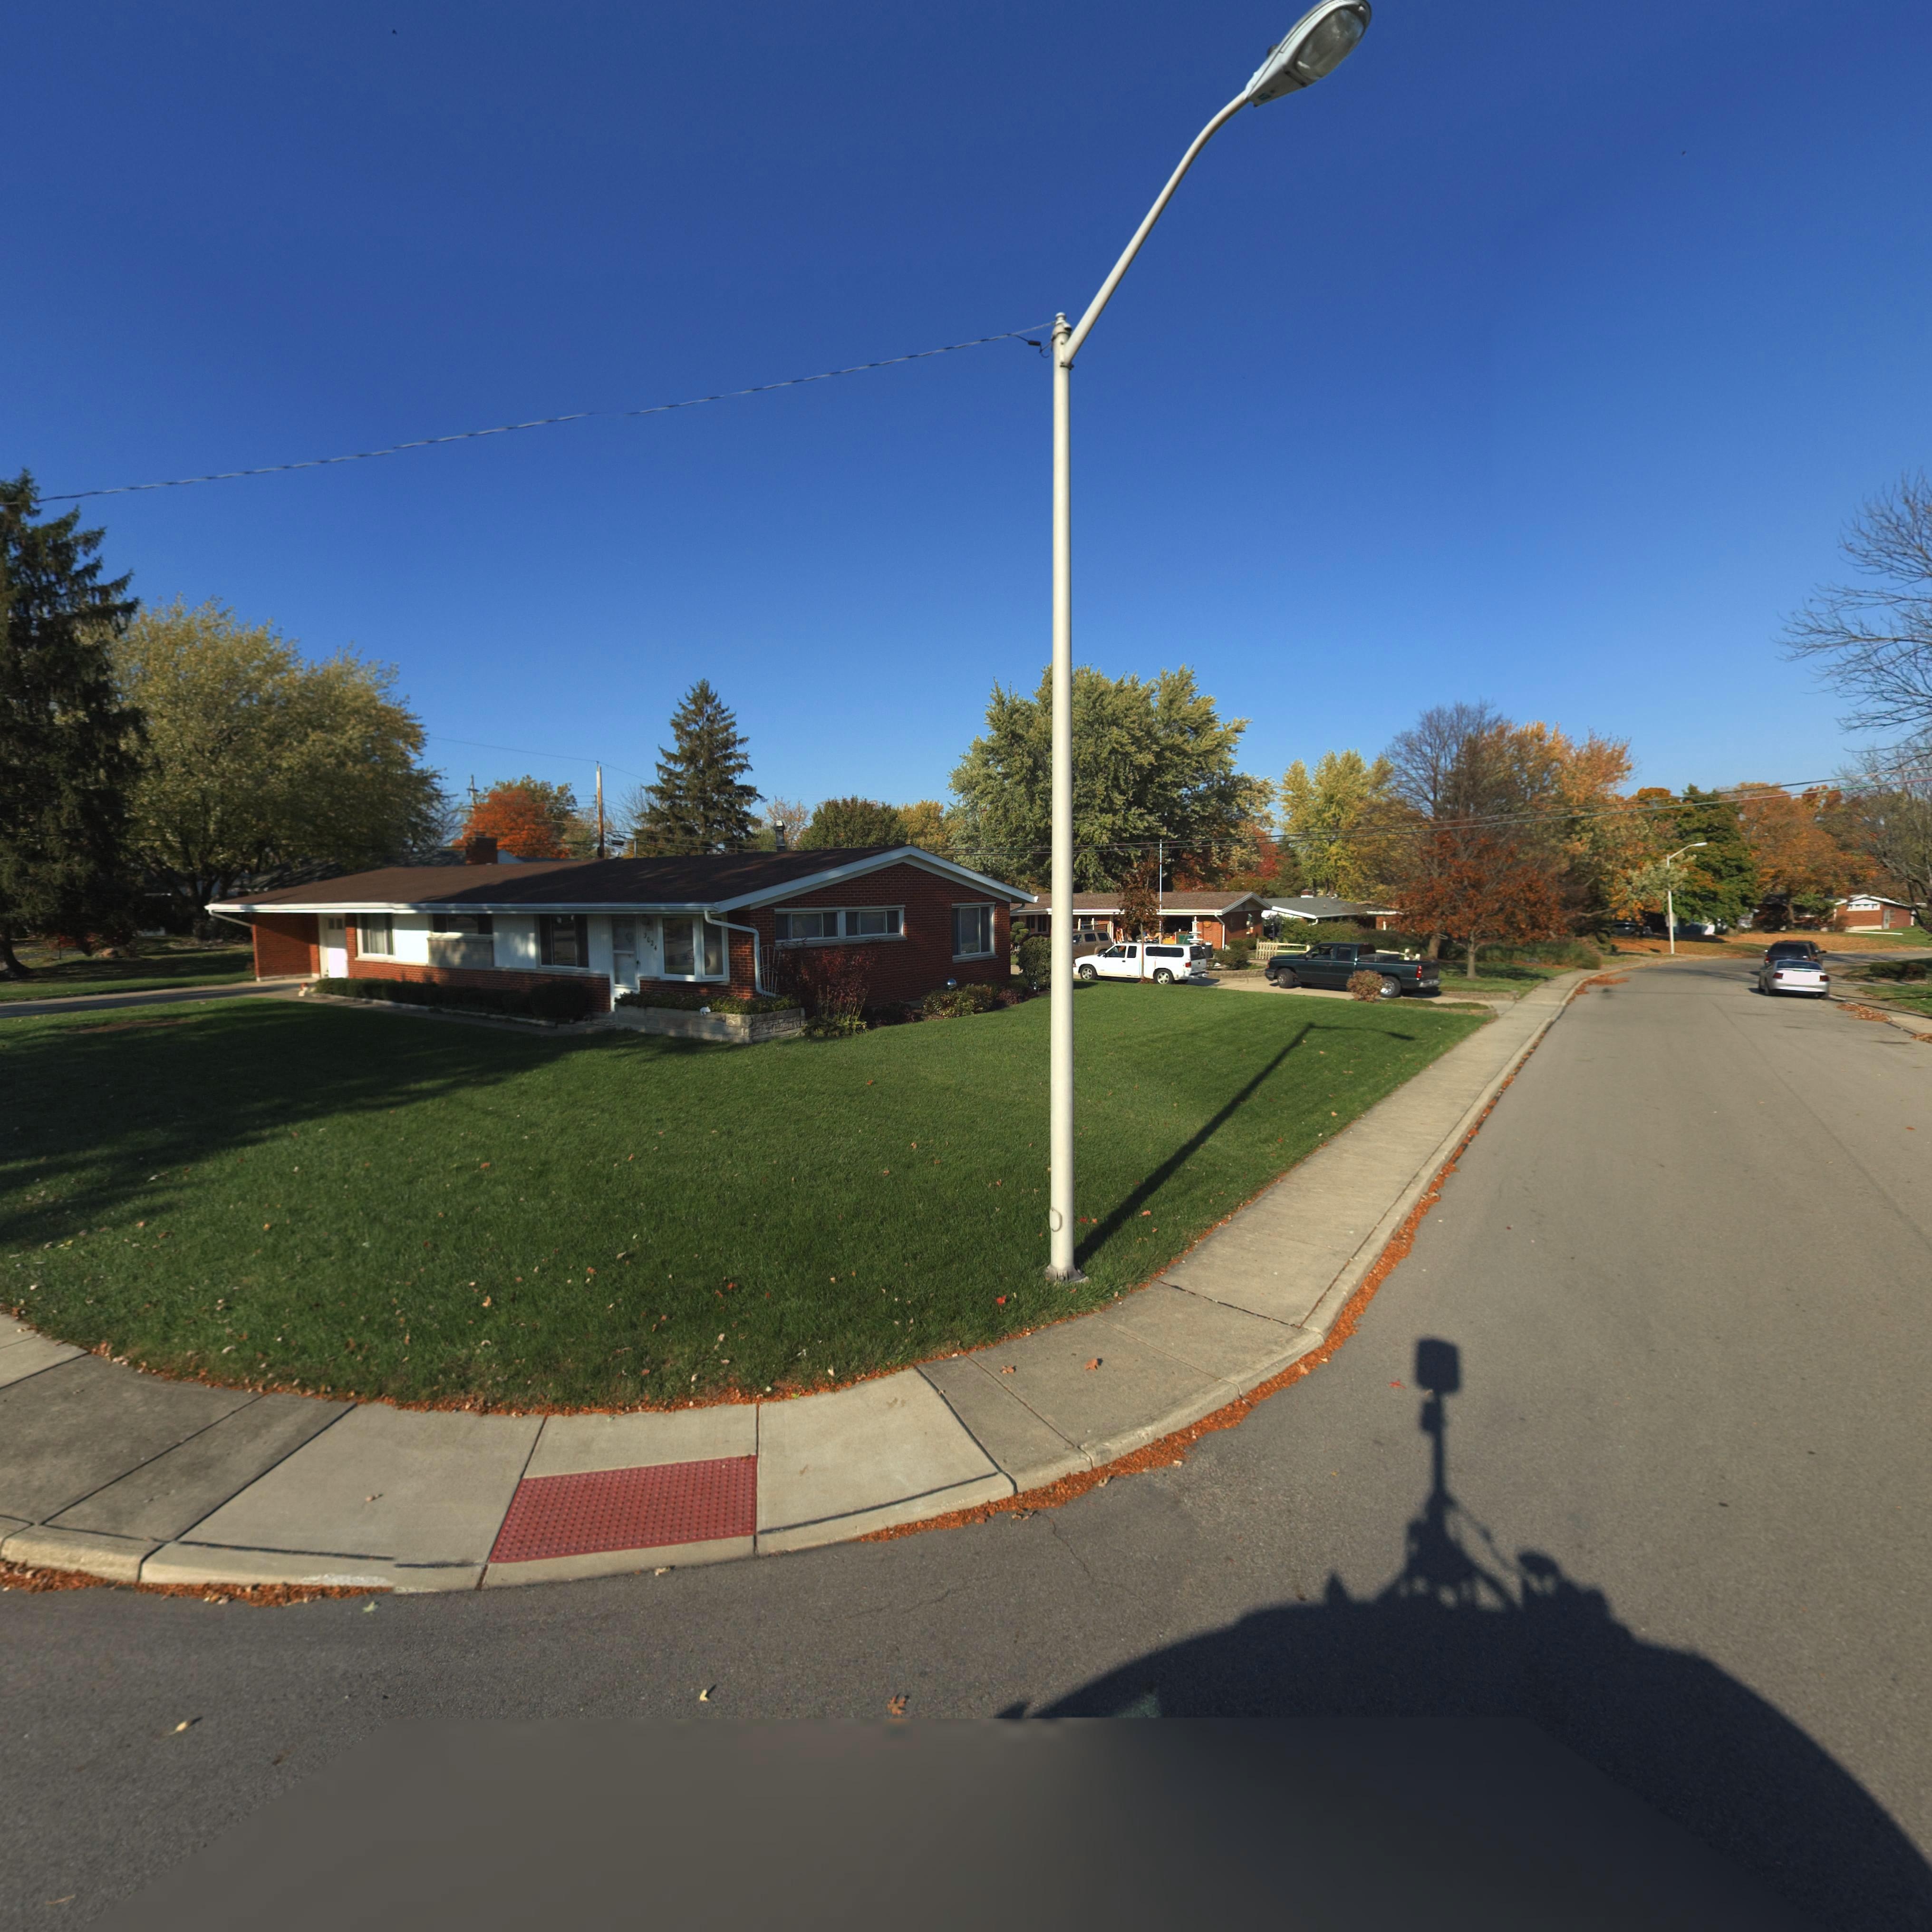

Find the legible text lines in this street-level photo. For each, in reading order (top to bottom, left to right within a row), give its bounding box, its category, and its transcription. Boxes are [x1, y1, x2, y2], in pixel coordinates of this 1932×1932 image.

[643, 931, 657, 951] StreetNumber: 3024